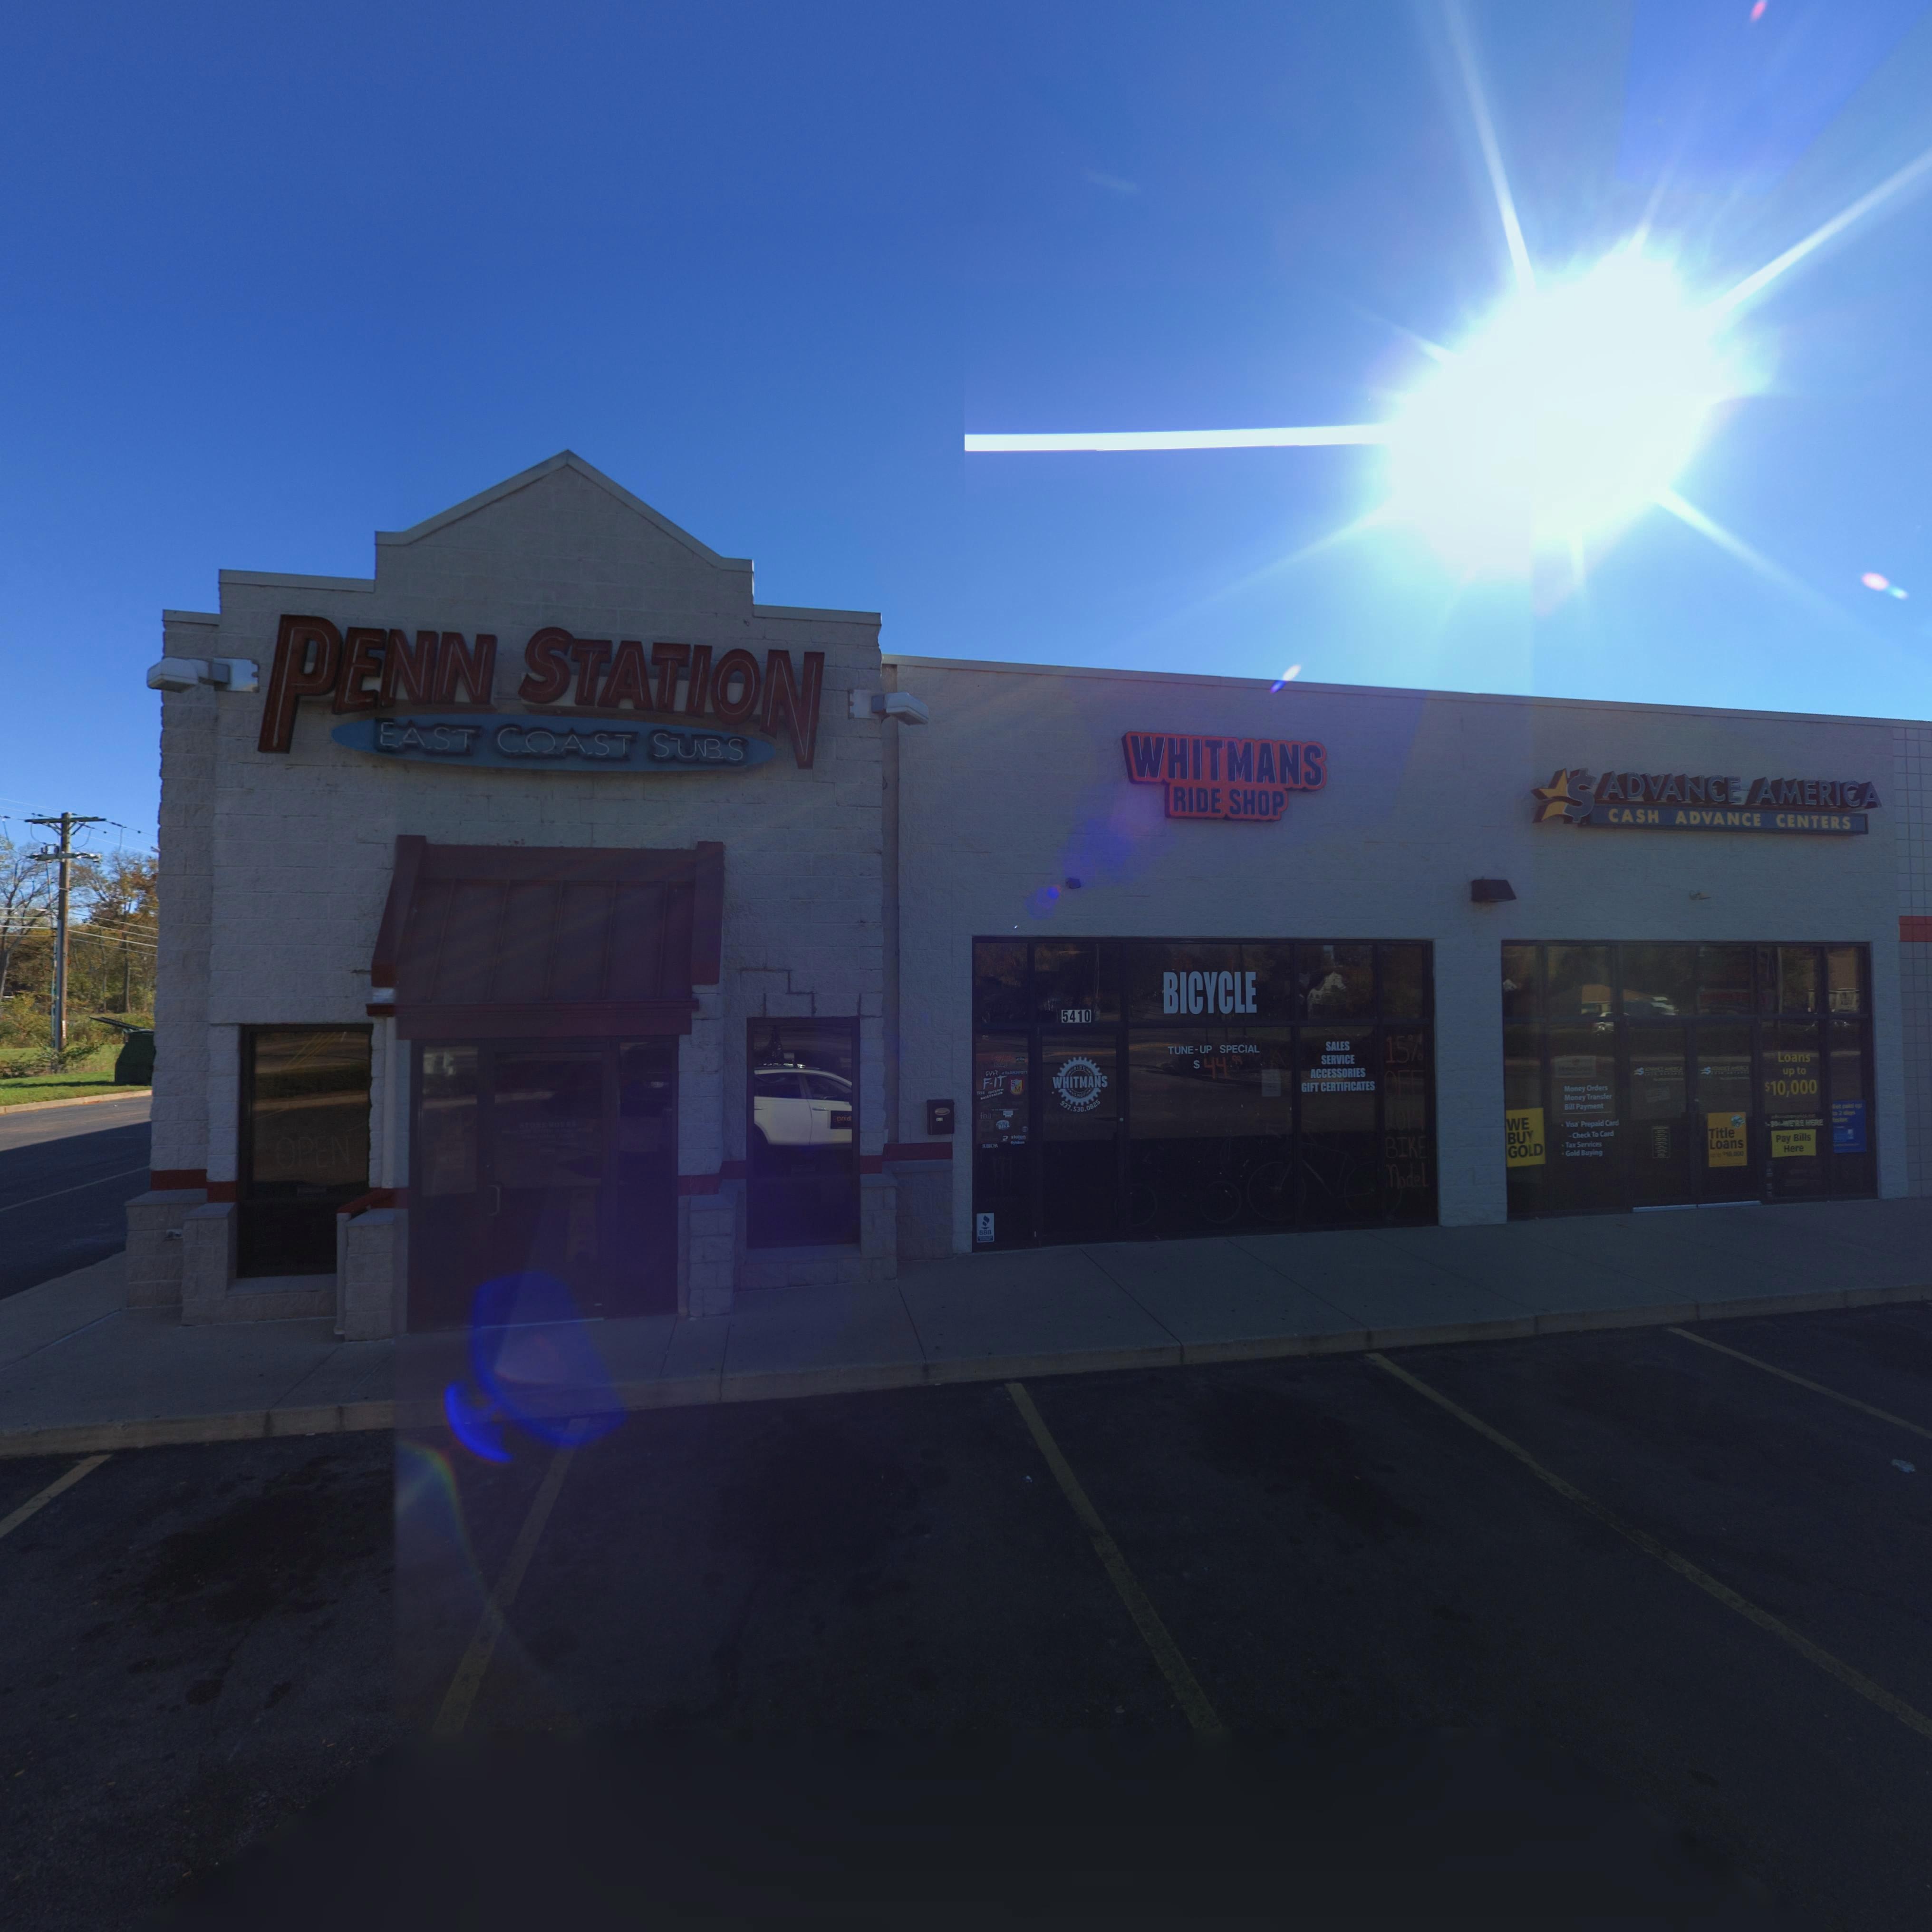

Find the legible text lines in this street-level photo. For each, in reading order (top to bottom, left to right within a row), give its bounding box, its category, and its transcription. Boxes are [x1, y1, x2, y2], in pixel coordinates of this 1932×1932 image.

[1061, 1009, 1092, 1023] StreetNumber: 5410